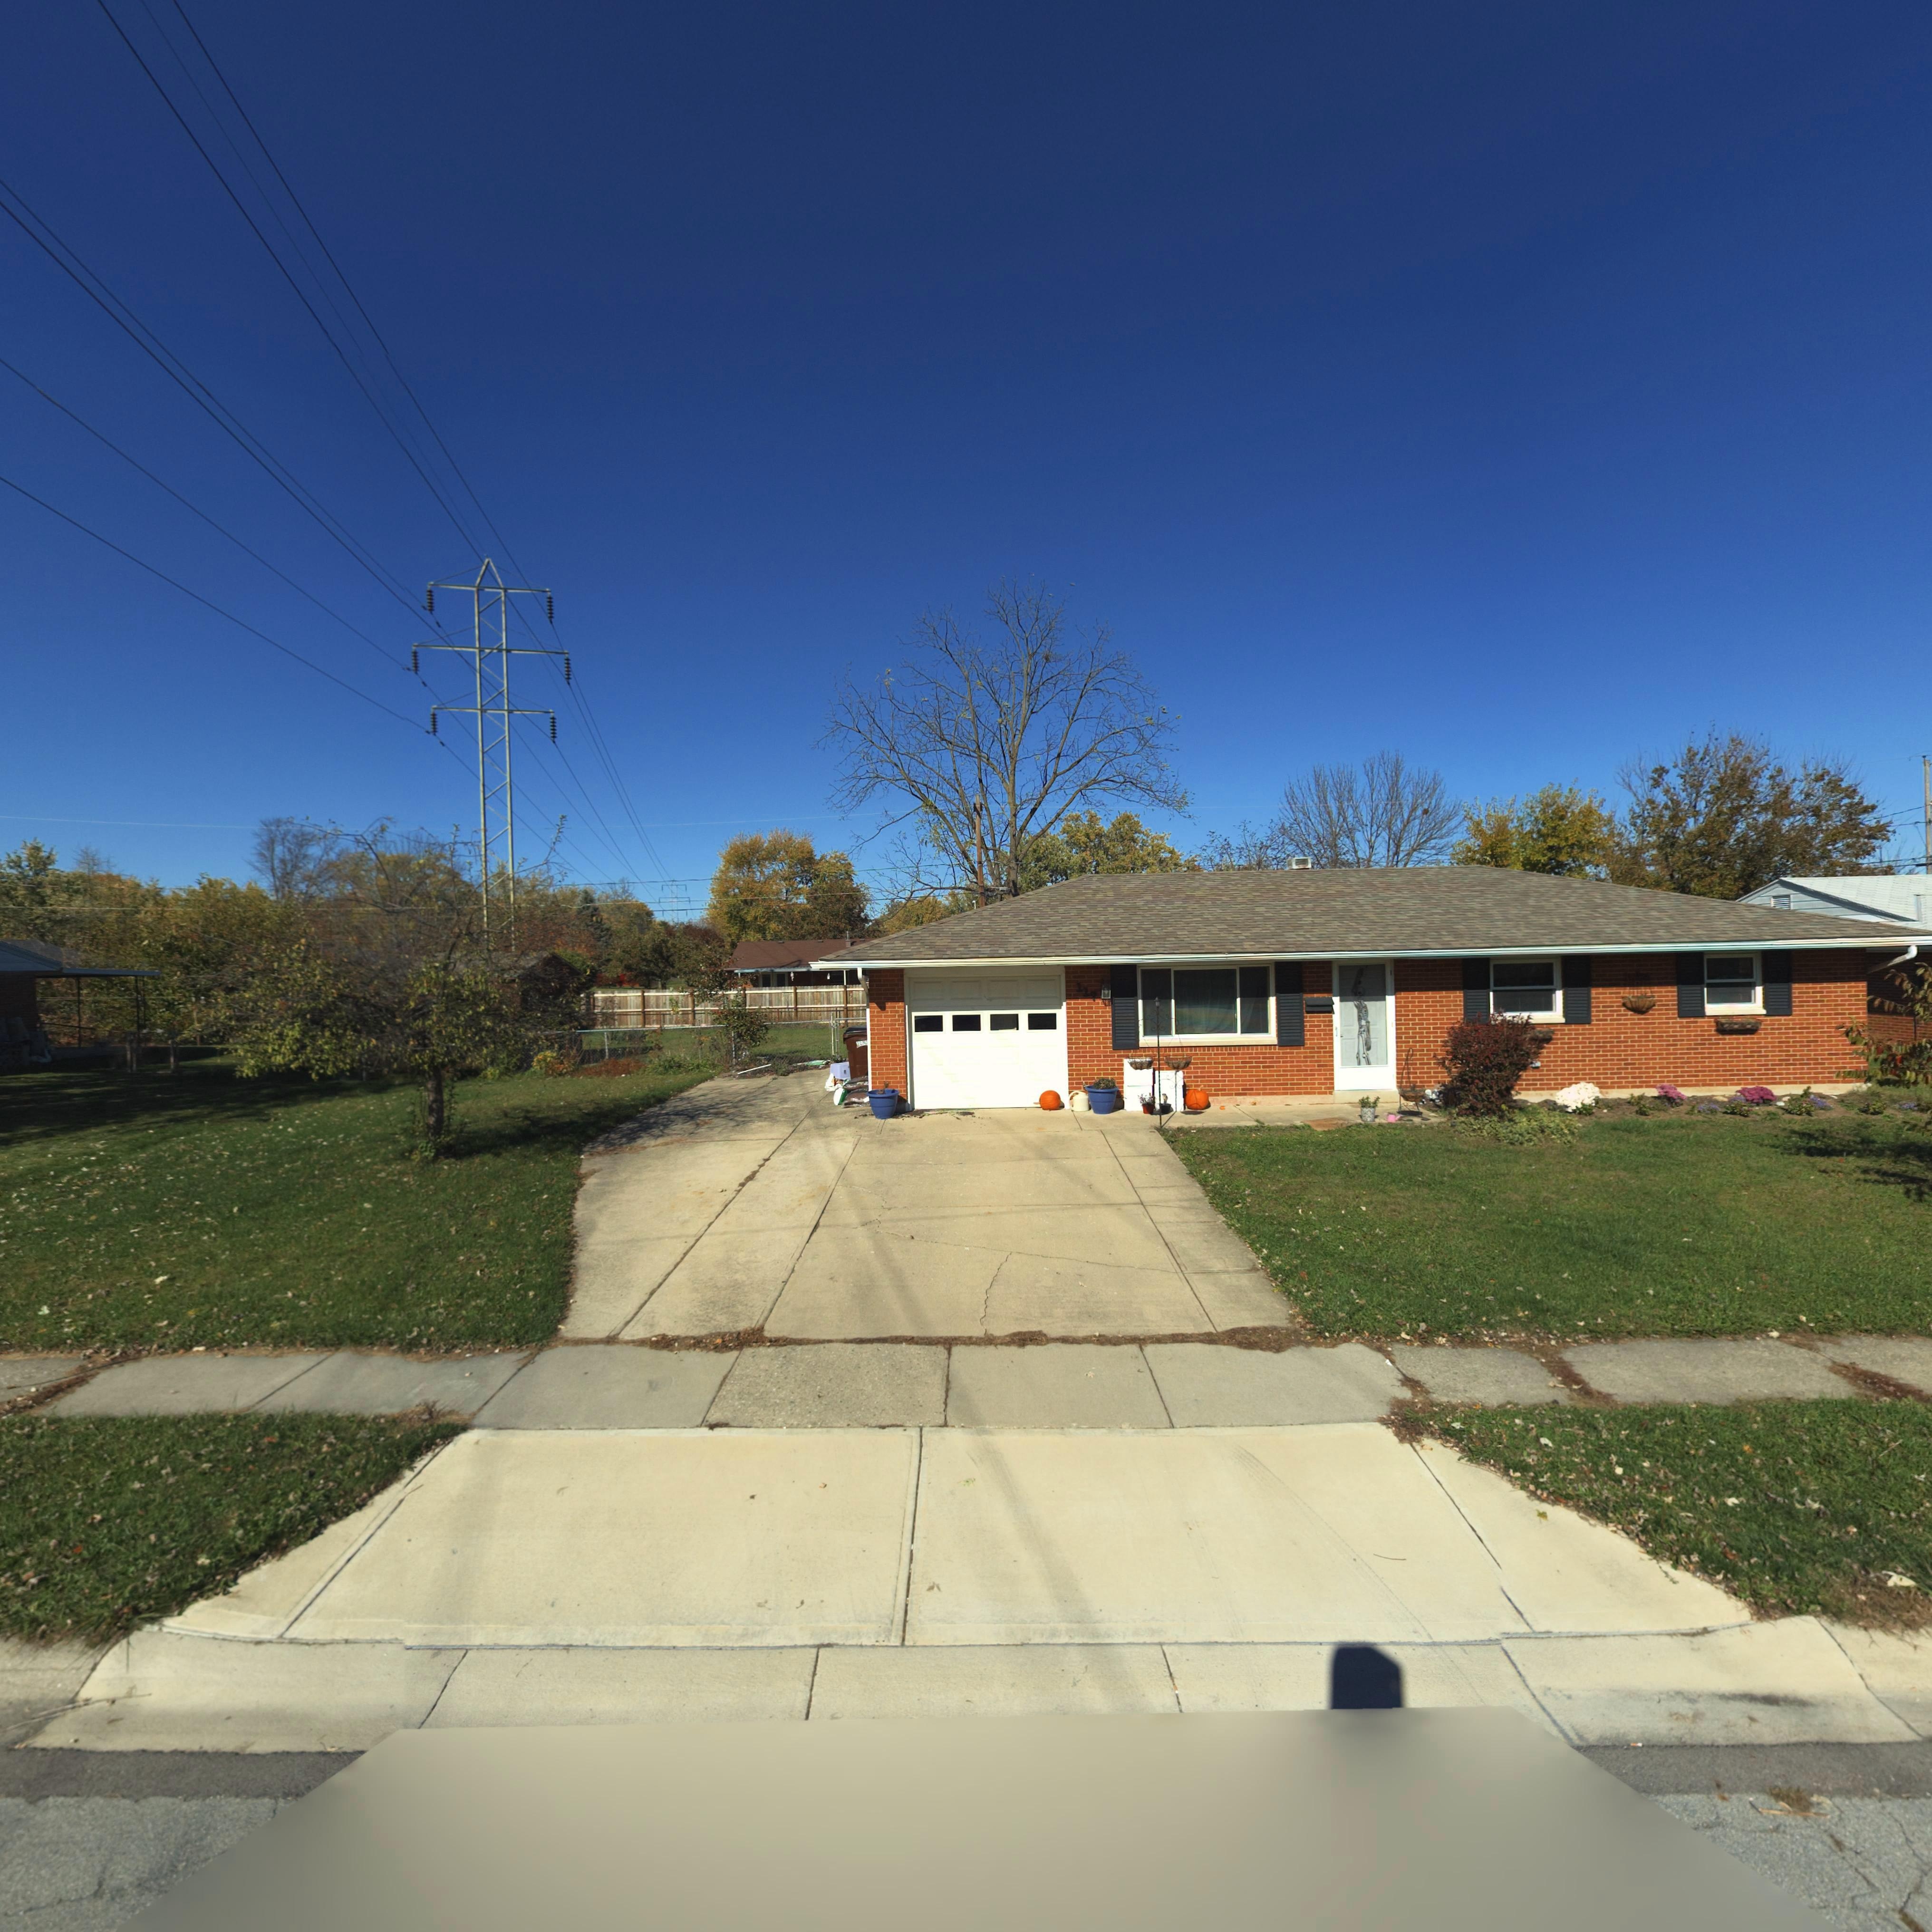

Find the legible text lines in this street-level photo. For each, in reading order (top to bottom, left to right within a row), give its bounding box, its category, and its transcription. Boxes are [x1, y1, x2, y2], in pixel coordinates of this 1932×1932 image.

[1074, 981, 1098, 1003] StreetNumber: 117